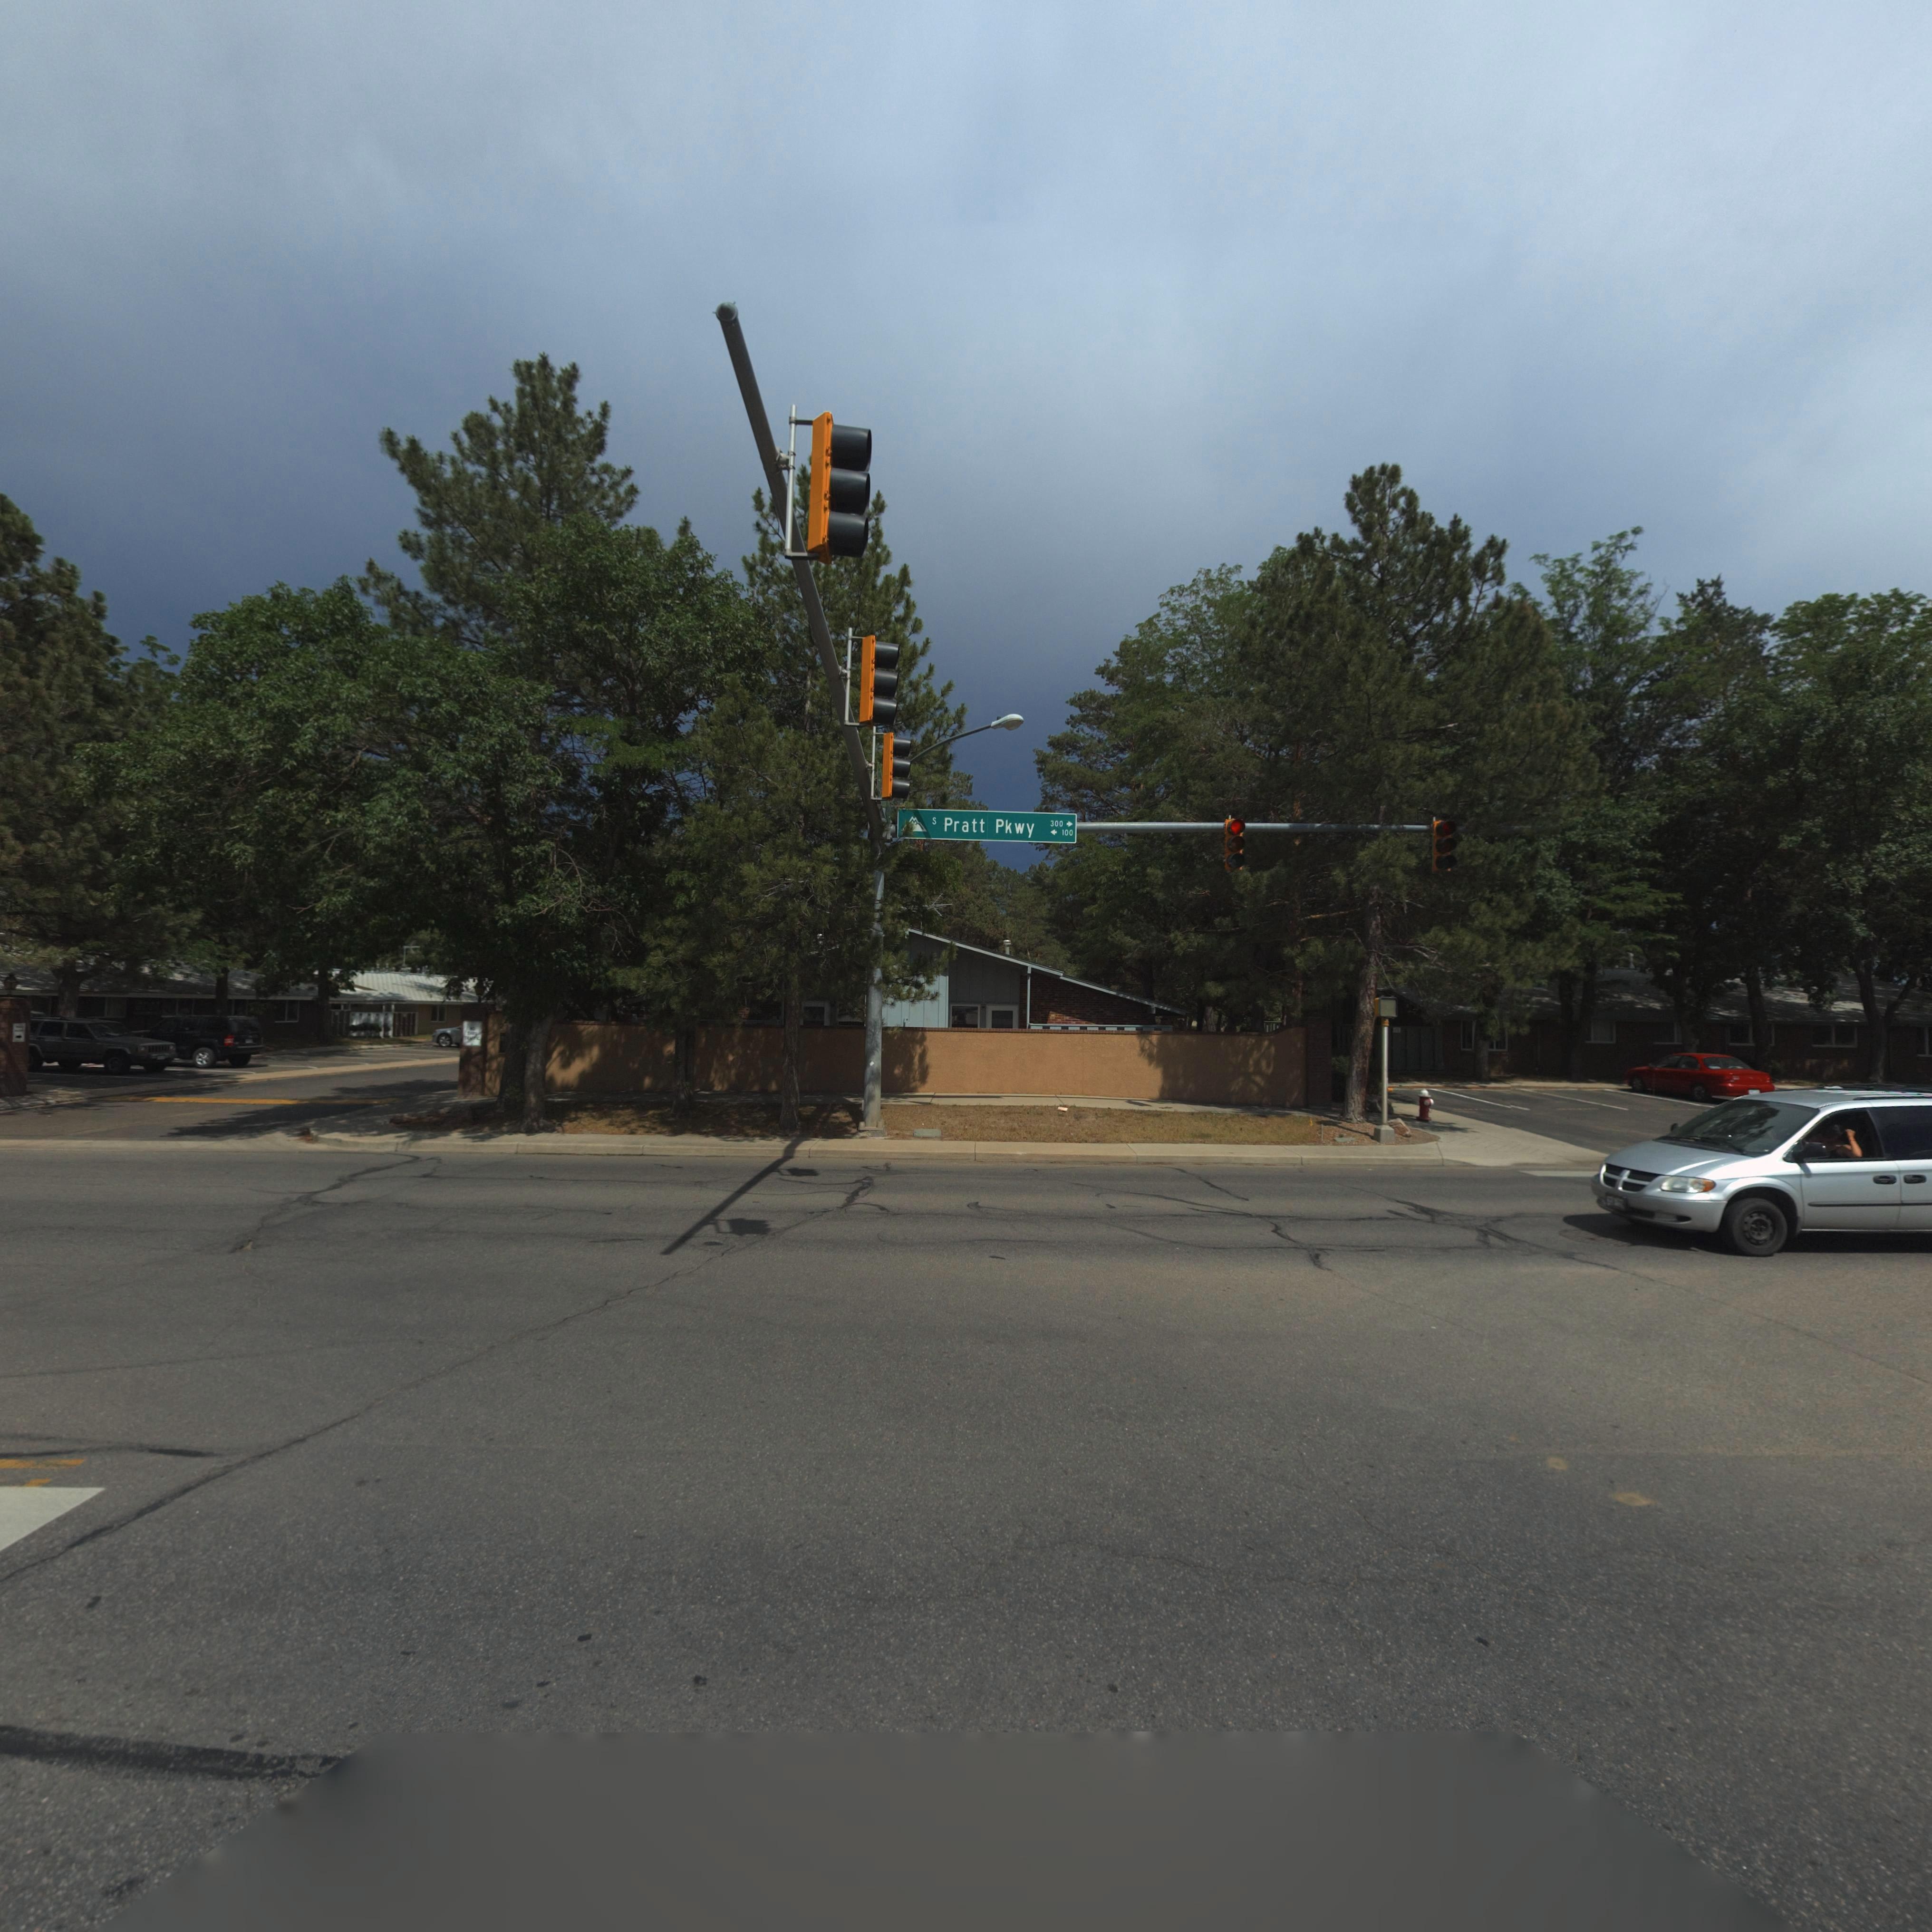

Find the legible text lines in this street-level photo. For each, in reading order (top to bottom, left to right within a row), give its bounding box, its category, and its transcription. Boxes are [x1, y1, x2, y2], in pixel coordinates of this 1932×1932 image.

[931, 816, 1034, 838] StreetName: S Pratt Pkwy
[1050, 820, 1072, 827] StreetNumberRange: 300 ->
[1050, 828, 1073, 836] StreetNumberRange: <- 100